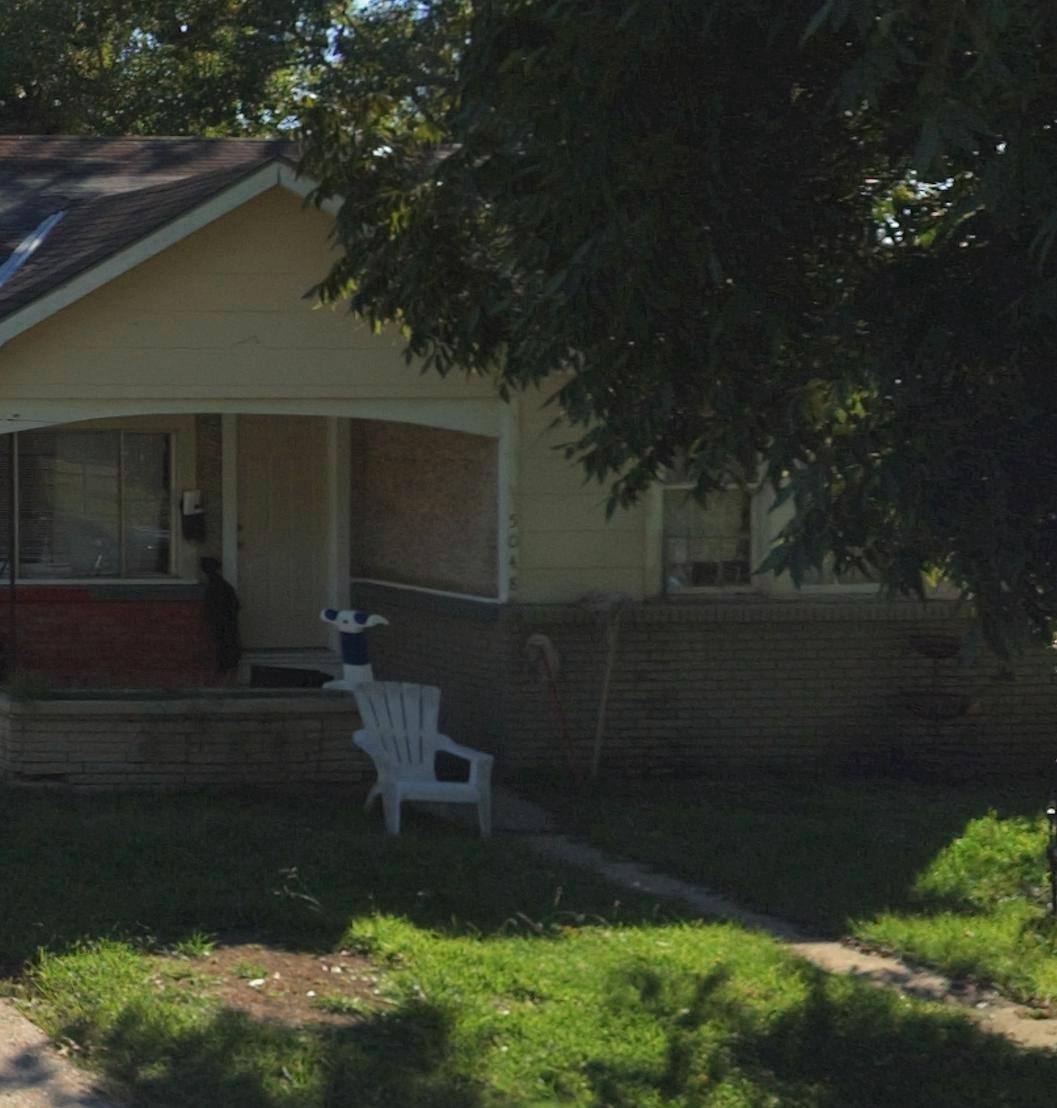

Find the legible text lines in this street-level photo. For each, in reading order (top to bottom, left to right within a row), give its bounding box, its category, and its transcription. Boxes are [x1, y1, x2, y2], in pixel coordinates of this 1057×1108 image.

[506, 512, 520, 592] StreetNumber: 5048